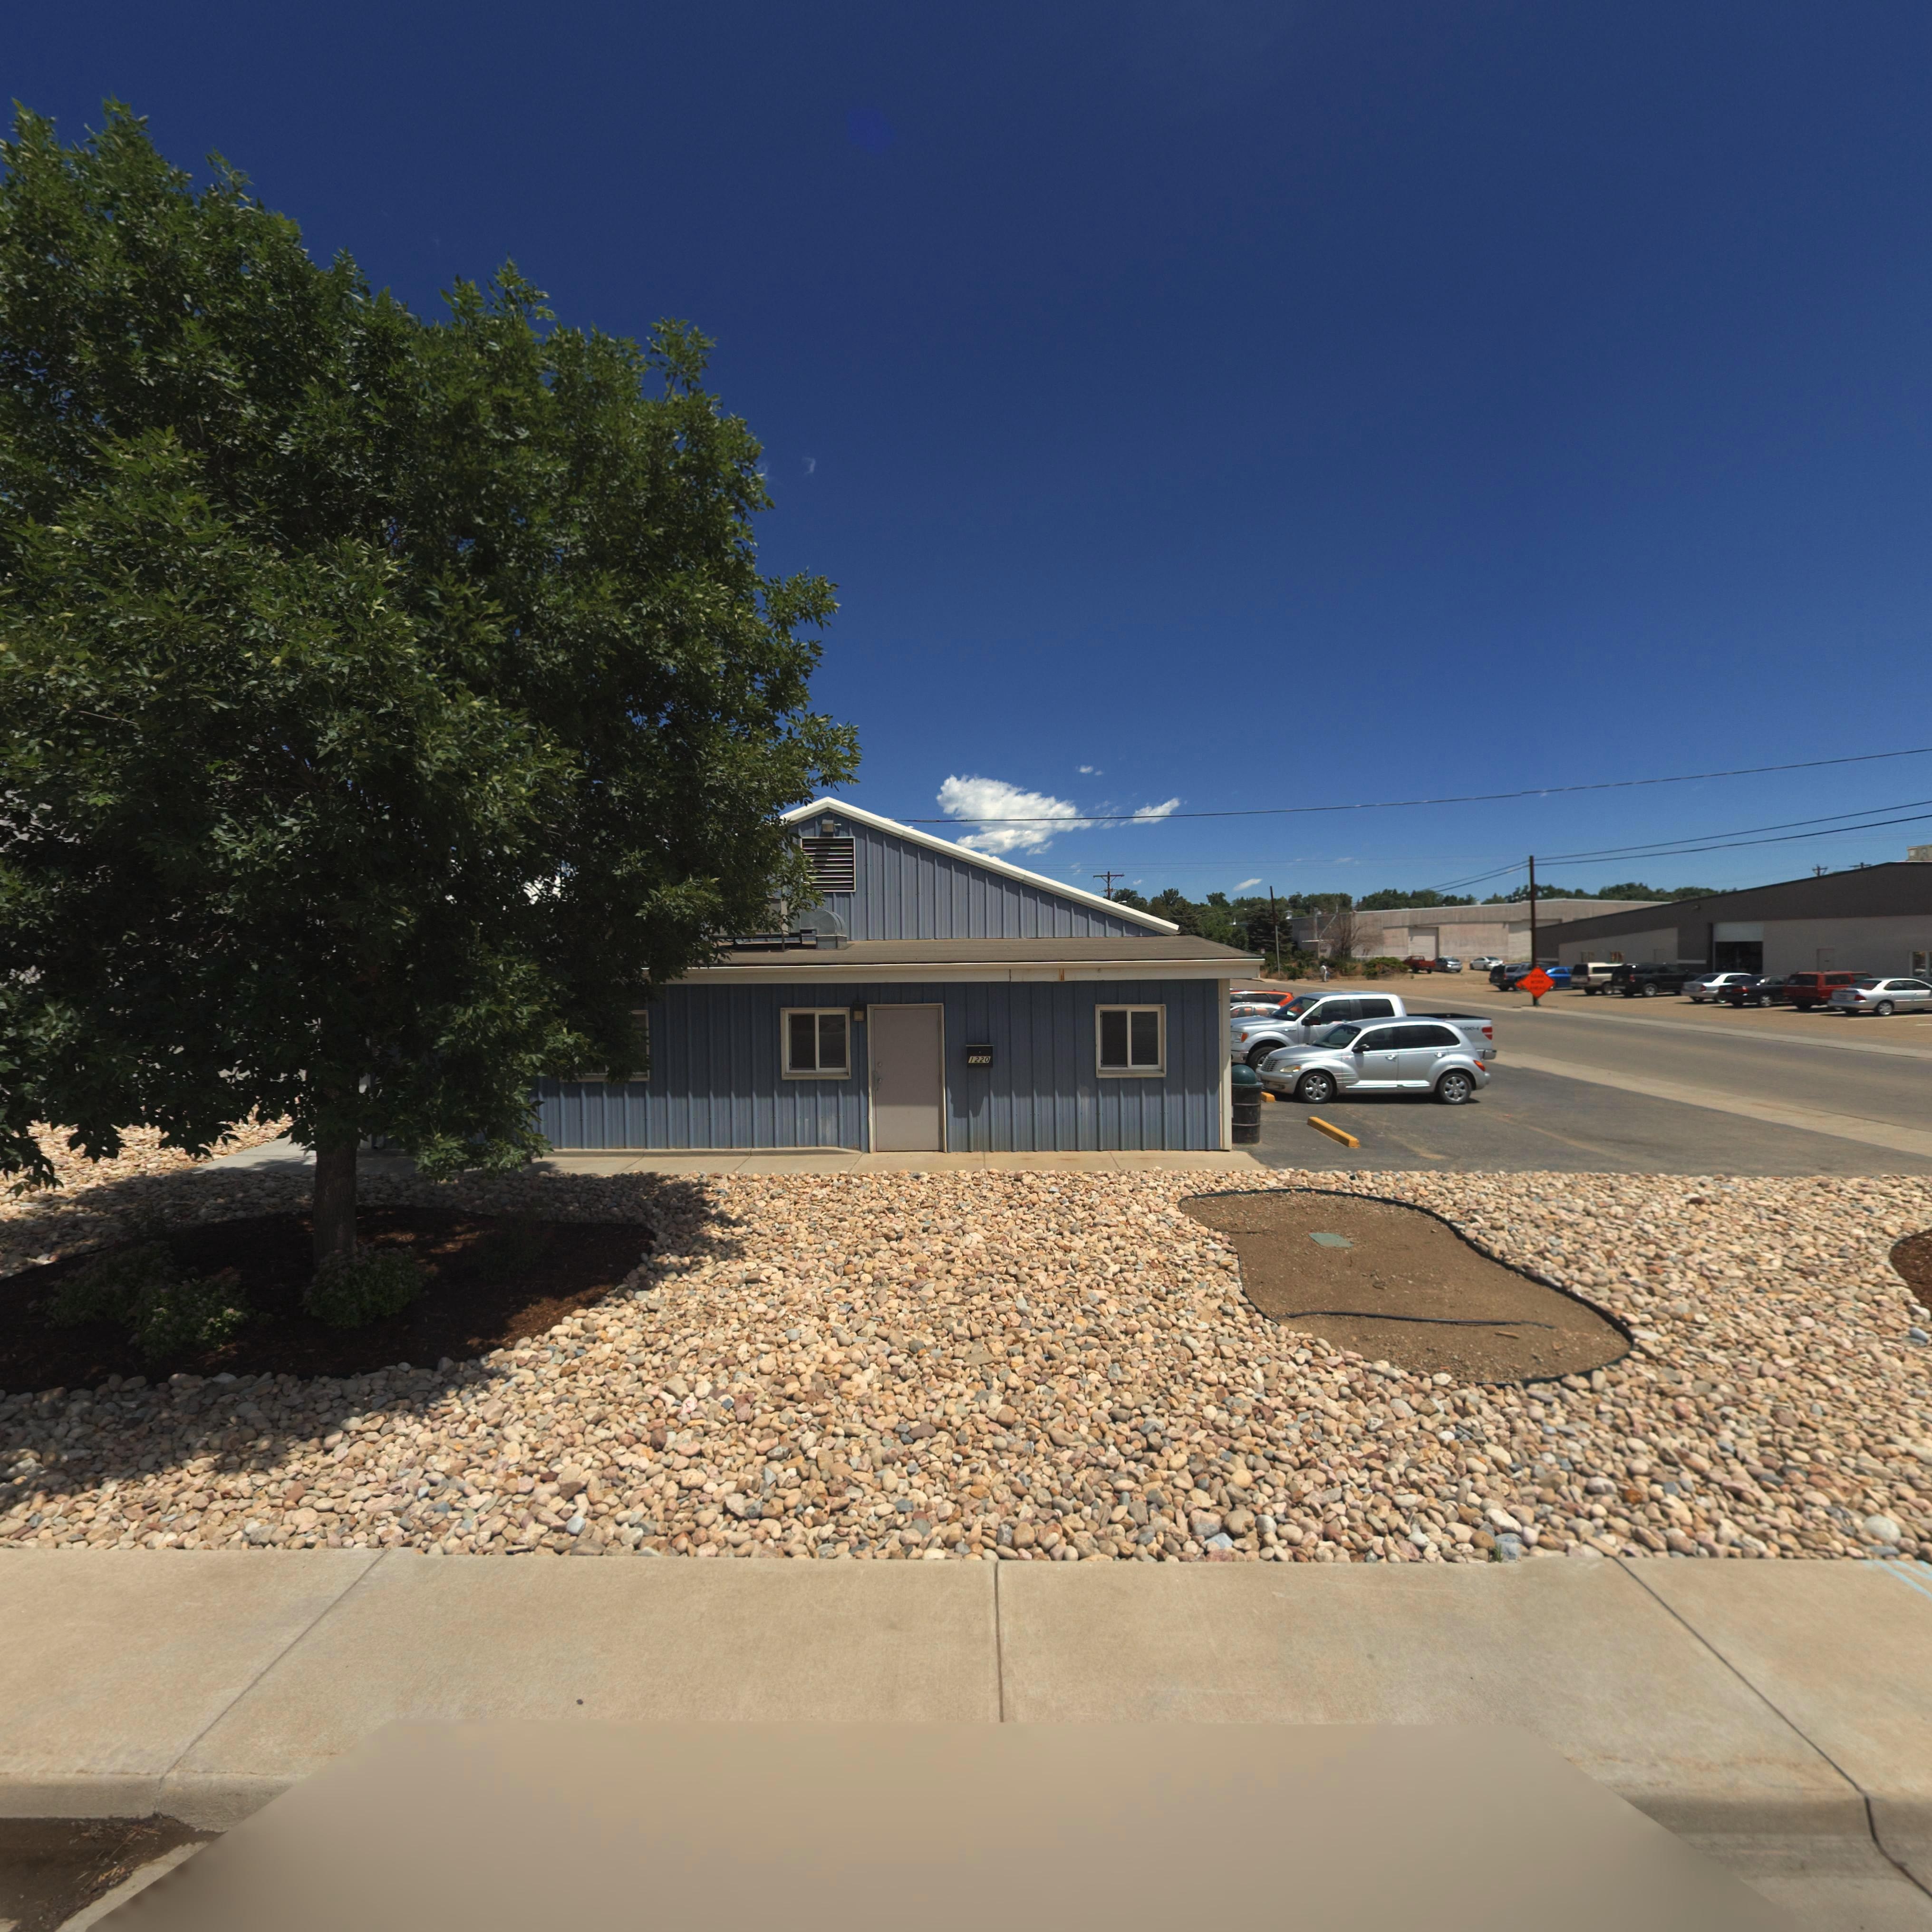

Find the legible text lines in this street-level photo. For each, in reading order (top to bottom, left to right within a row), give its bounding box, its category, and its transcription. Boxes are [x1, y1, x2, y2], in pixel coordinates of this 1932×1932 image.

[968, 1056, 990, 1063] StreetNumber: 1220